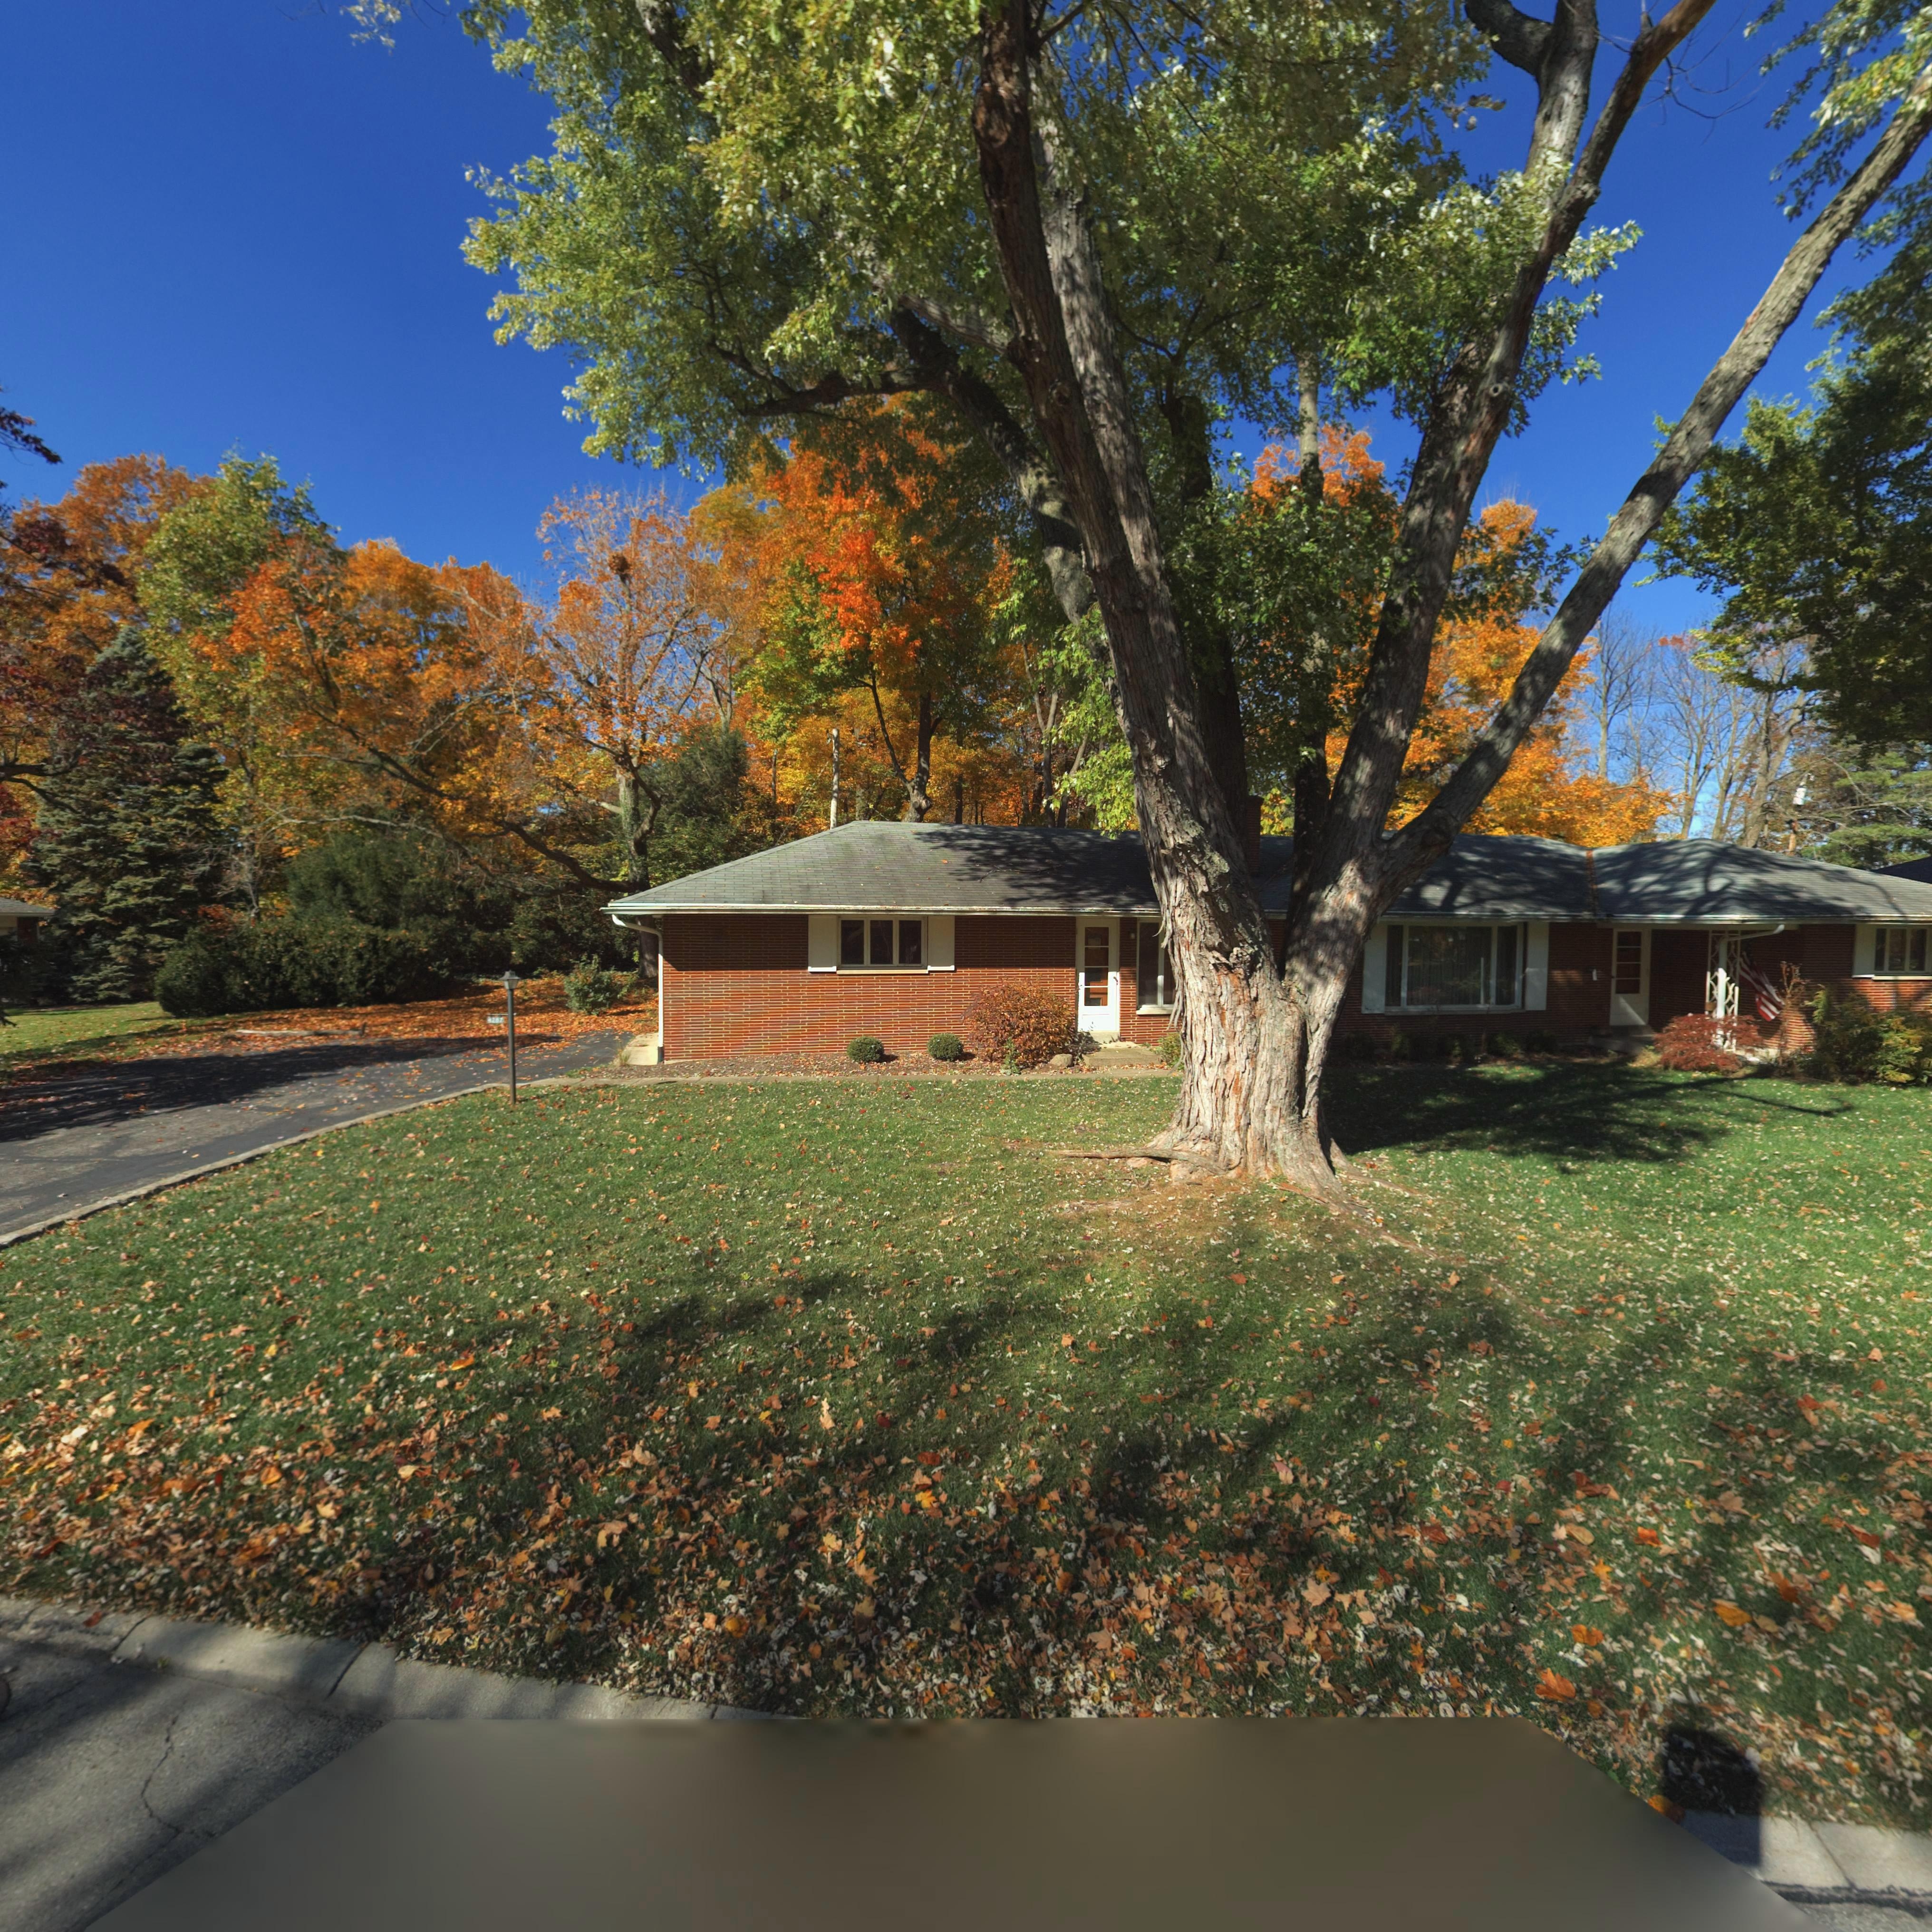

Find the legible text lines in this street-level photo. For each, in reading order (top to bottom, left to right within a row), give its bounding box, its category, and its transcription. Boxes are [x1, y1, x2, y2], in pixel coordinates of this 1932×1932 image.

[486, 1017, 503, 1023] StreetNumber: 4267